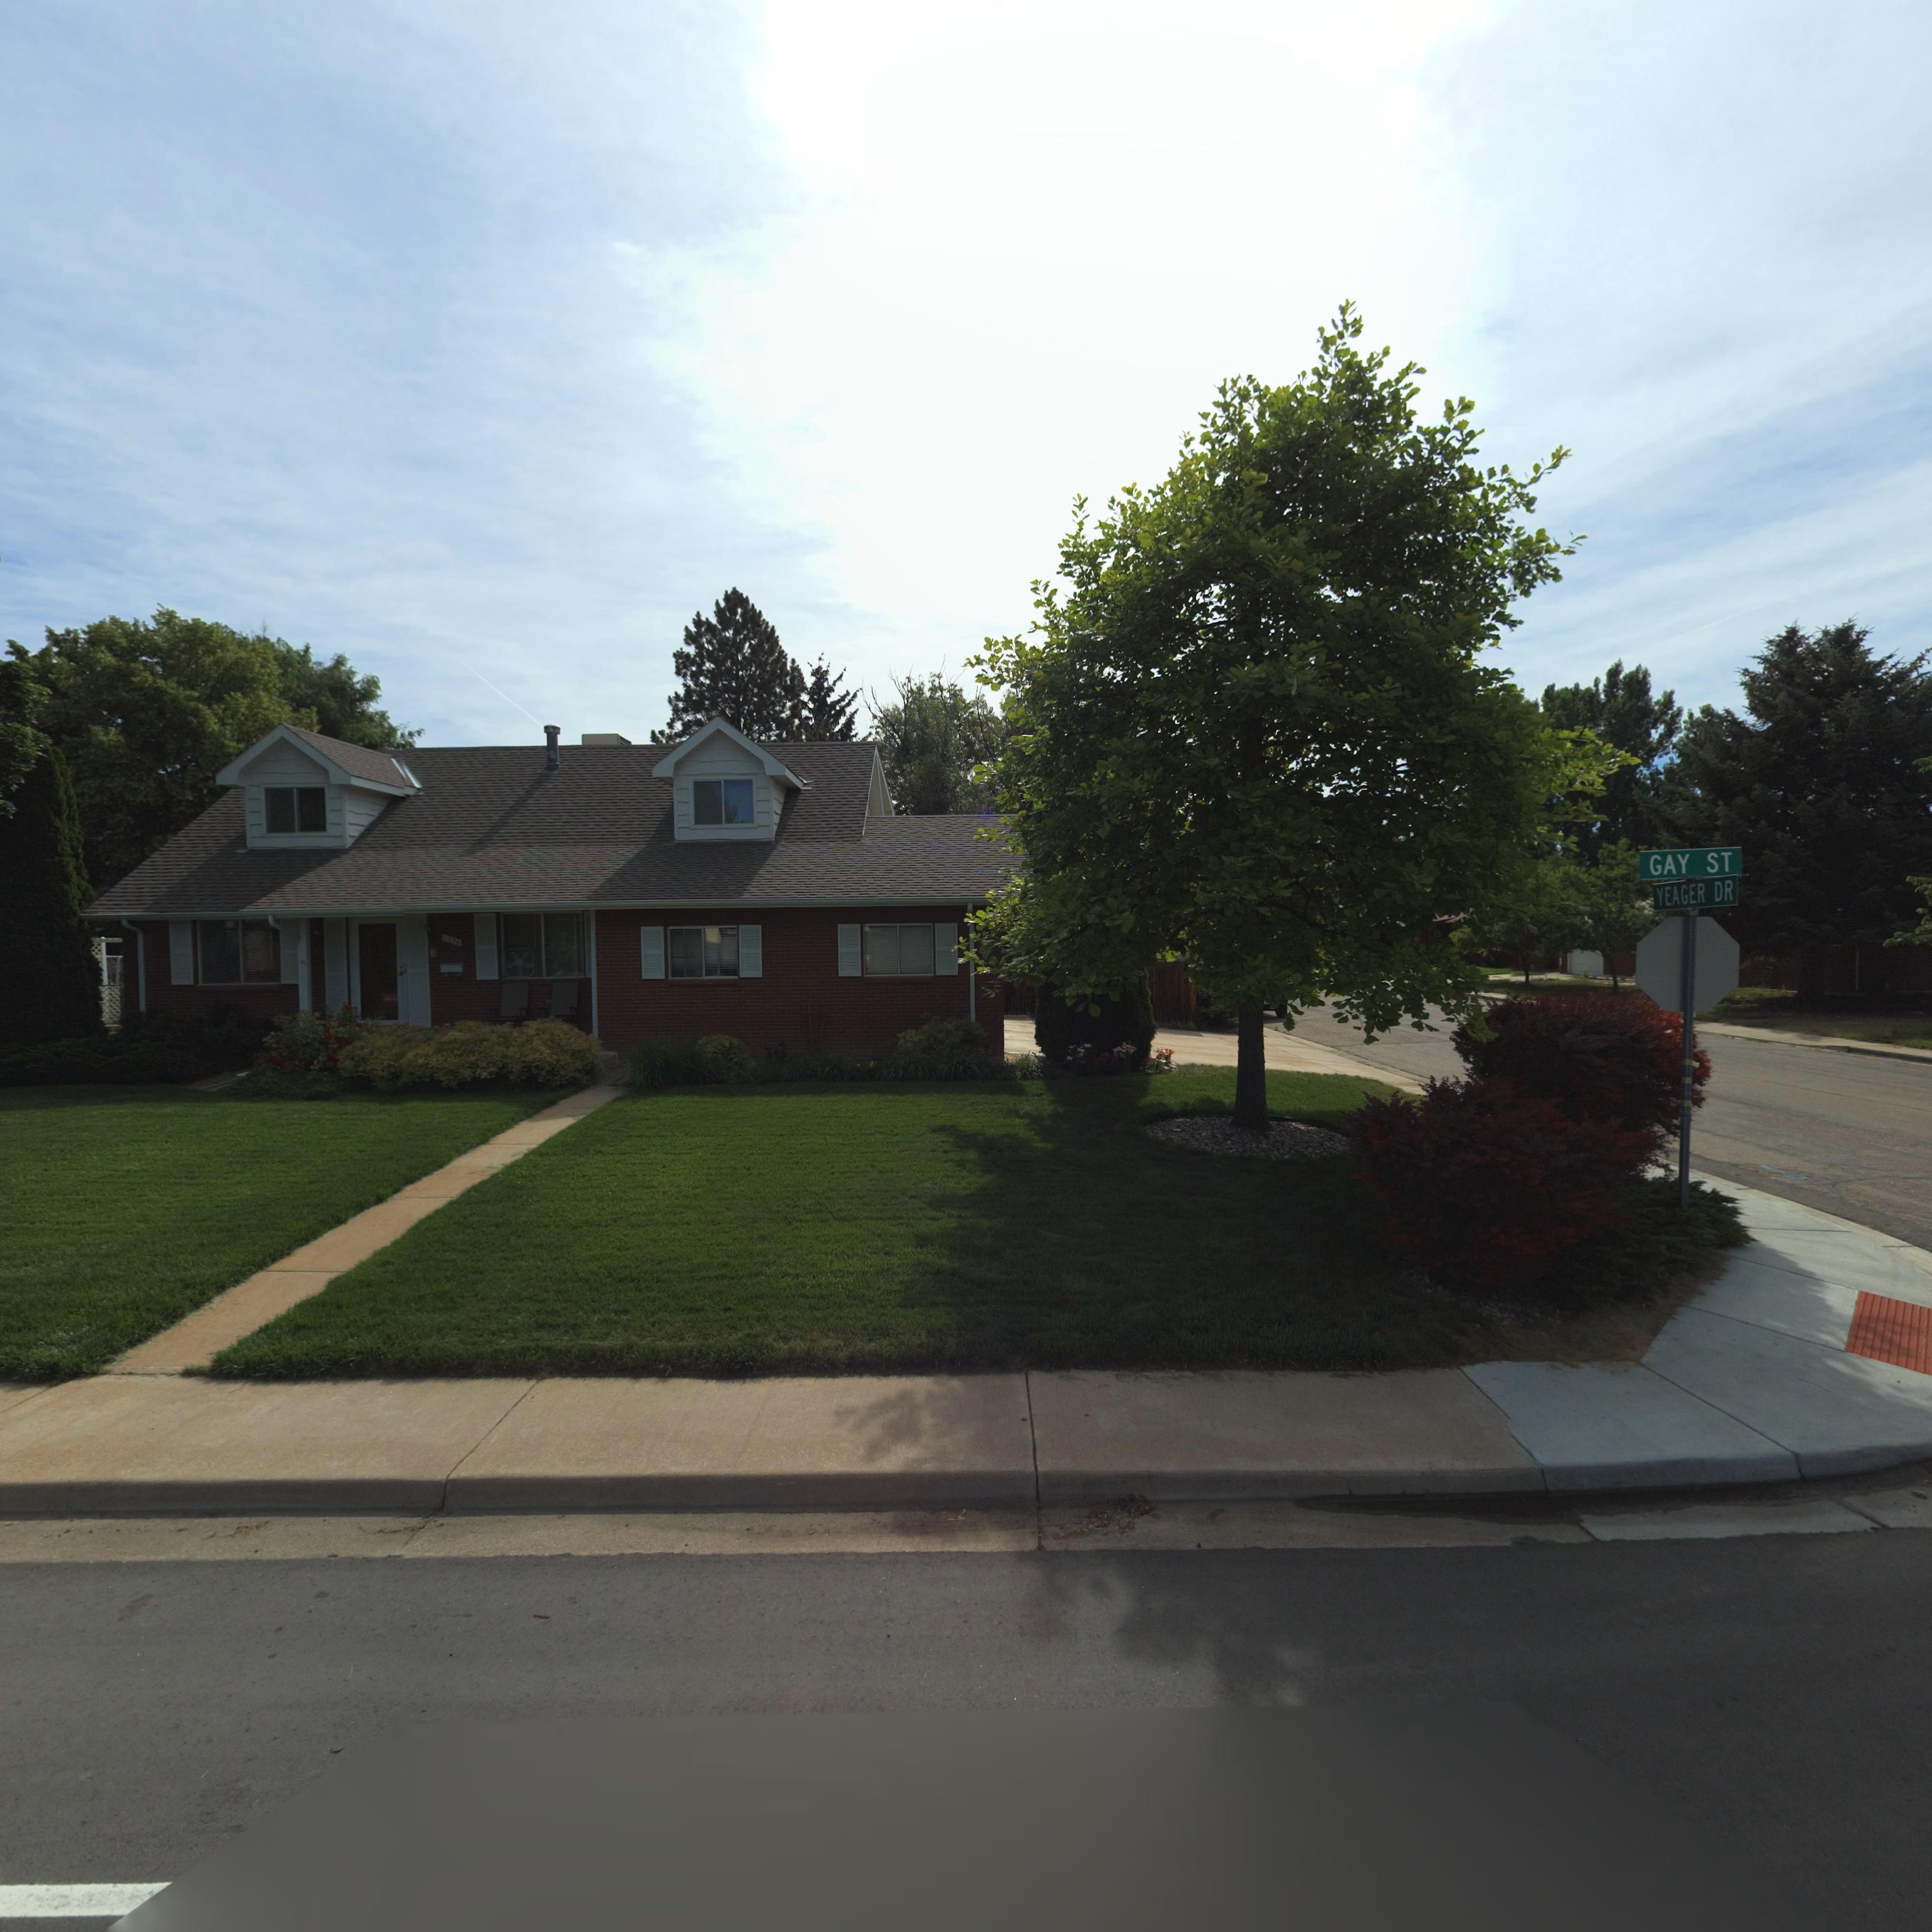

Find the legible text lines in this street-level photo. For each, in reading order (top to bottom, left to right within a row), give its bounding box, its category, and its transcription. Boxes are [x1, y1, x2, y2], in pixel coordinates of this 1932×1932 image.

[1649, 851, 1733, 876] StreetName: GAY ST
[1655, 879, 1734, 907] StreetName: YEAGER DR
[443, 936, 461, 946] StreetNumber: 1*2*